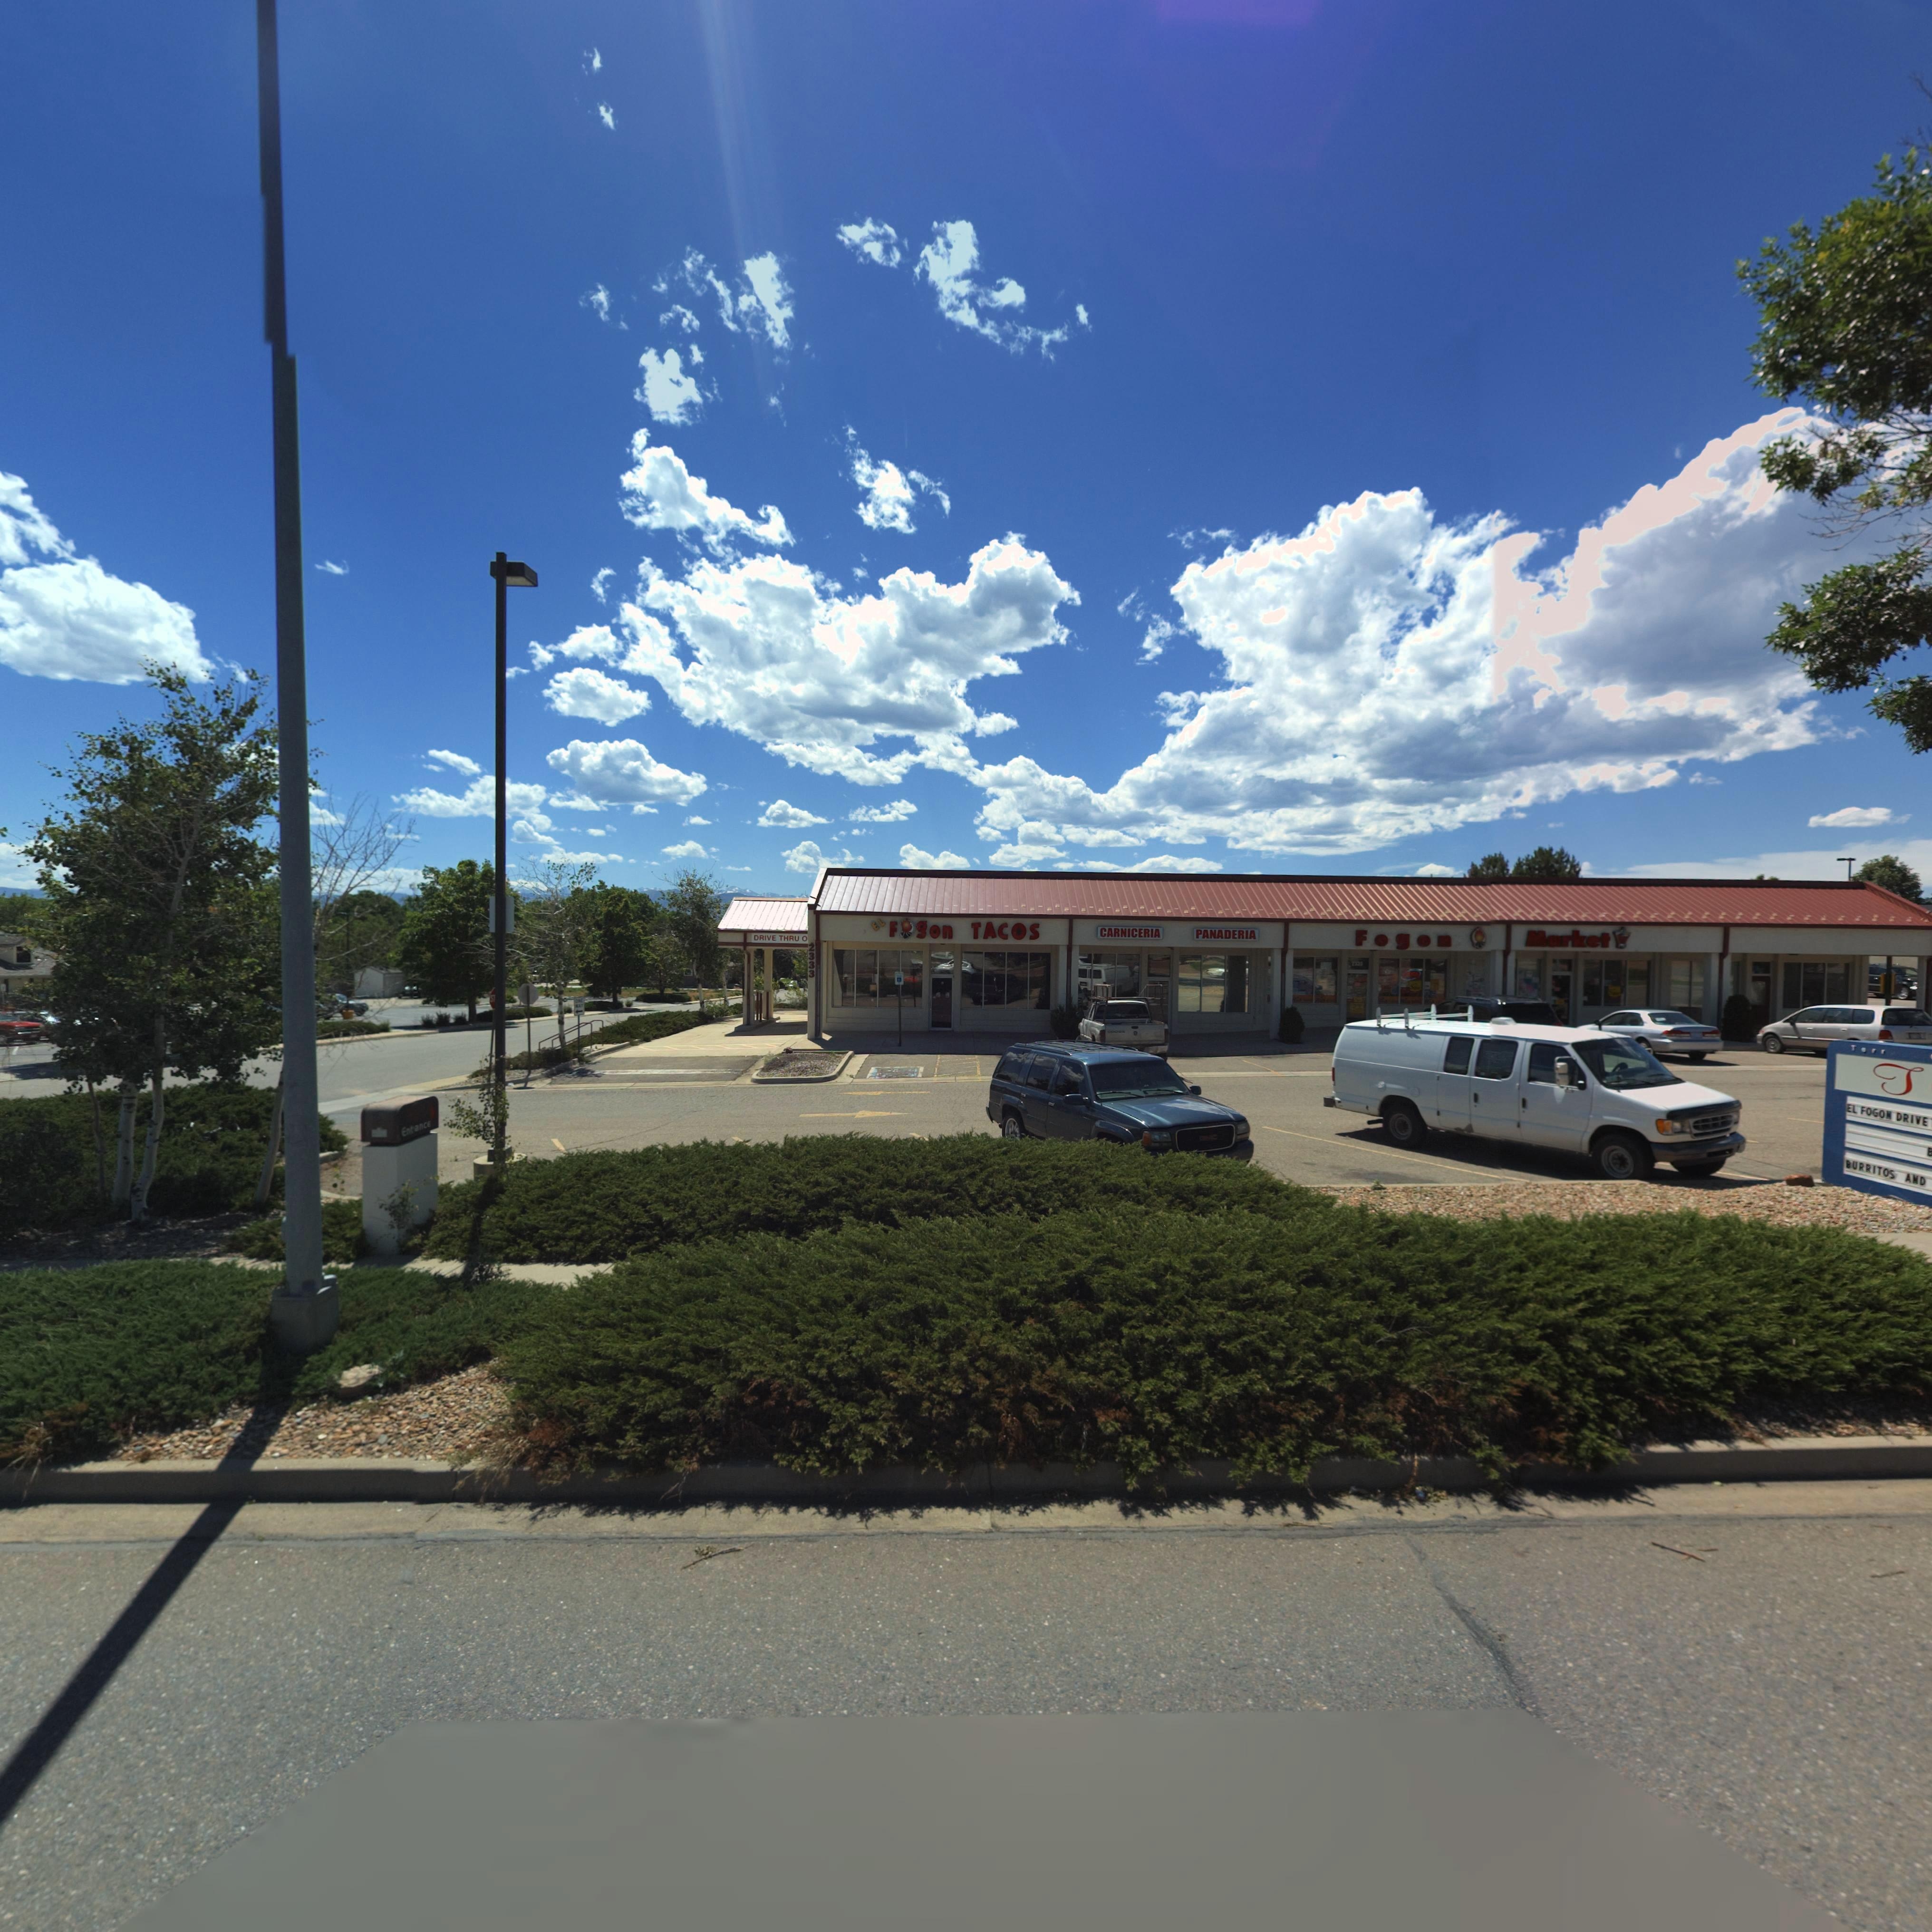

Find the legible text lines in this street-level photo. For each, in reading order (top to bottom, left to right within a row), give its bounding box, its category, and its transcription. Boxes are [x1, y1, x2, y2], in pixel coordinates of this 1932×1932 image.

[869, 917, 887, 932] BusinessName: EL
[889, 919, 1040, 941] BusinessName: F*gon TACOS
[1100, 927, 1160, 938] BusinessName: CARNICERIA
[1195, 928, 1256, 940] BusinessName: PANADERIA
[1354, 928, 1611, 951] BusinessName: Fogon * Market
[808, 943, 815, 978] BusinessName: 2333
[1351, 961, 1362, 966] BusinessName: 2333